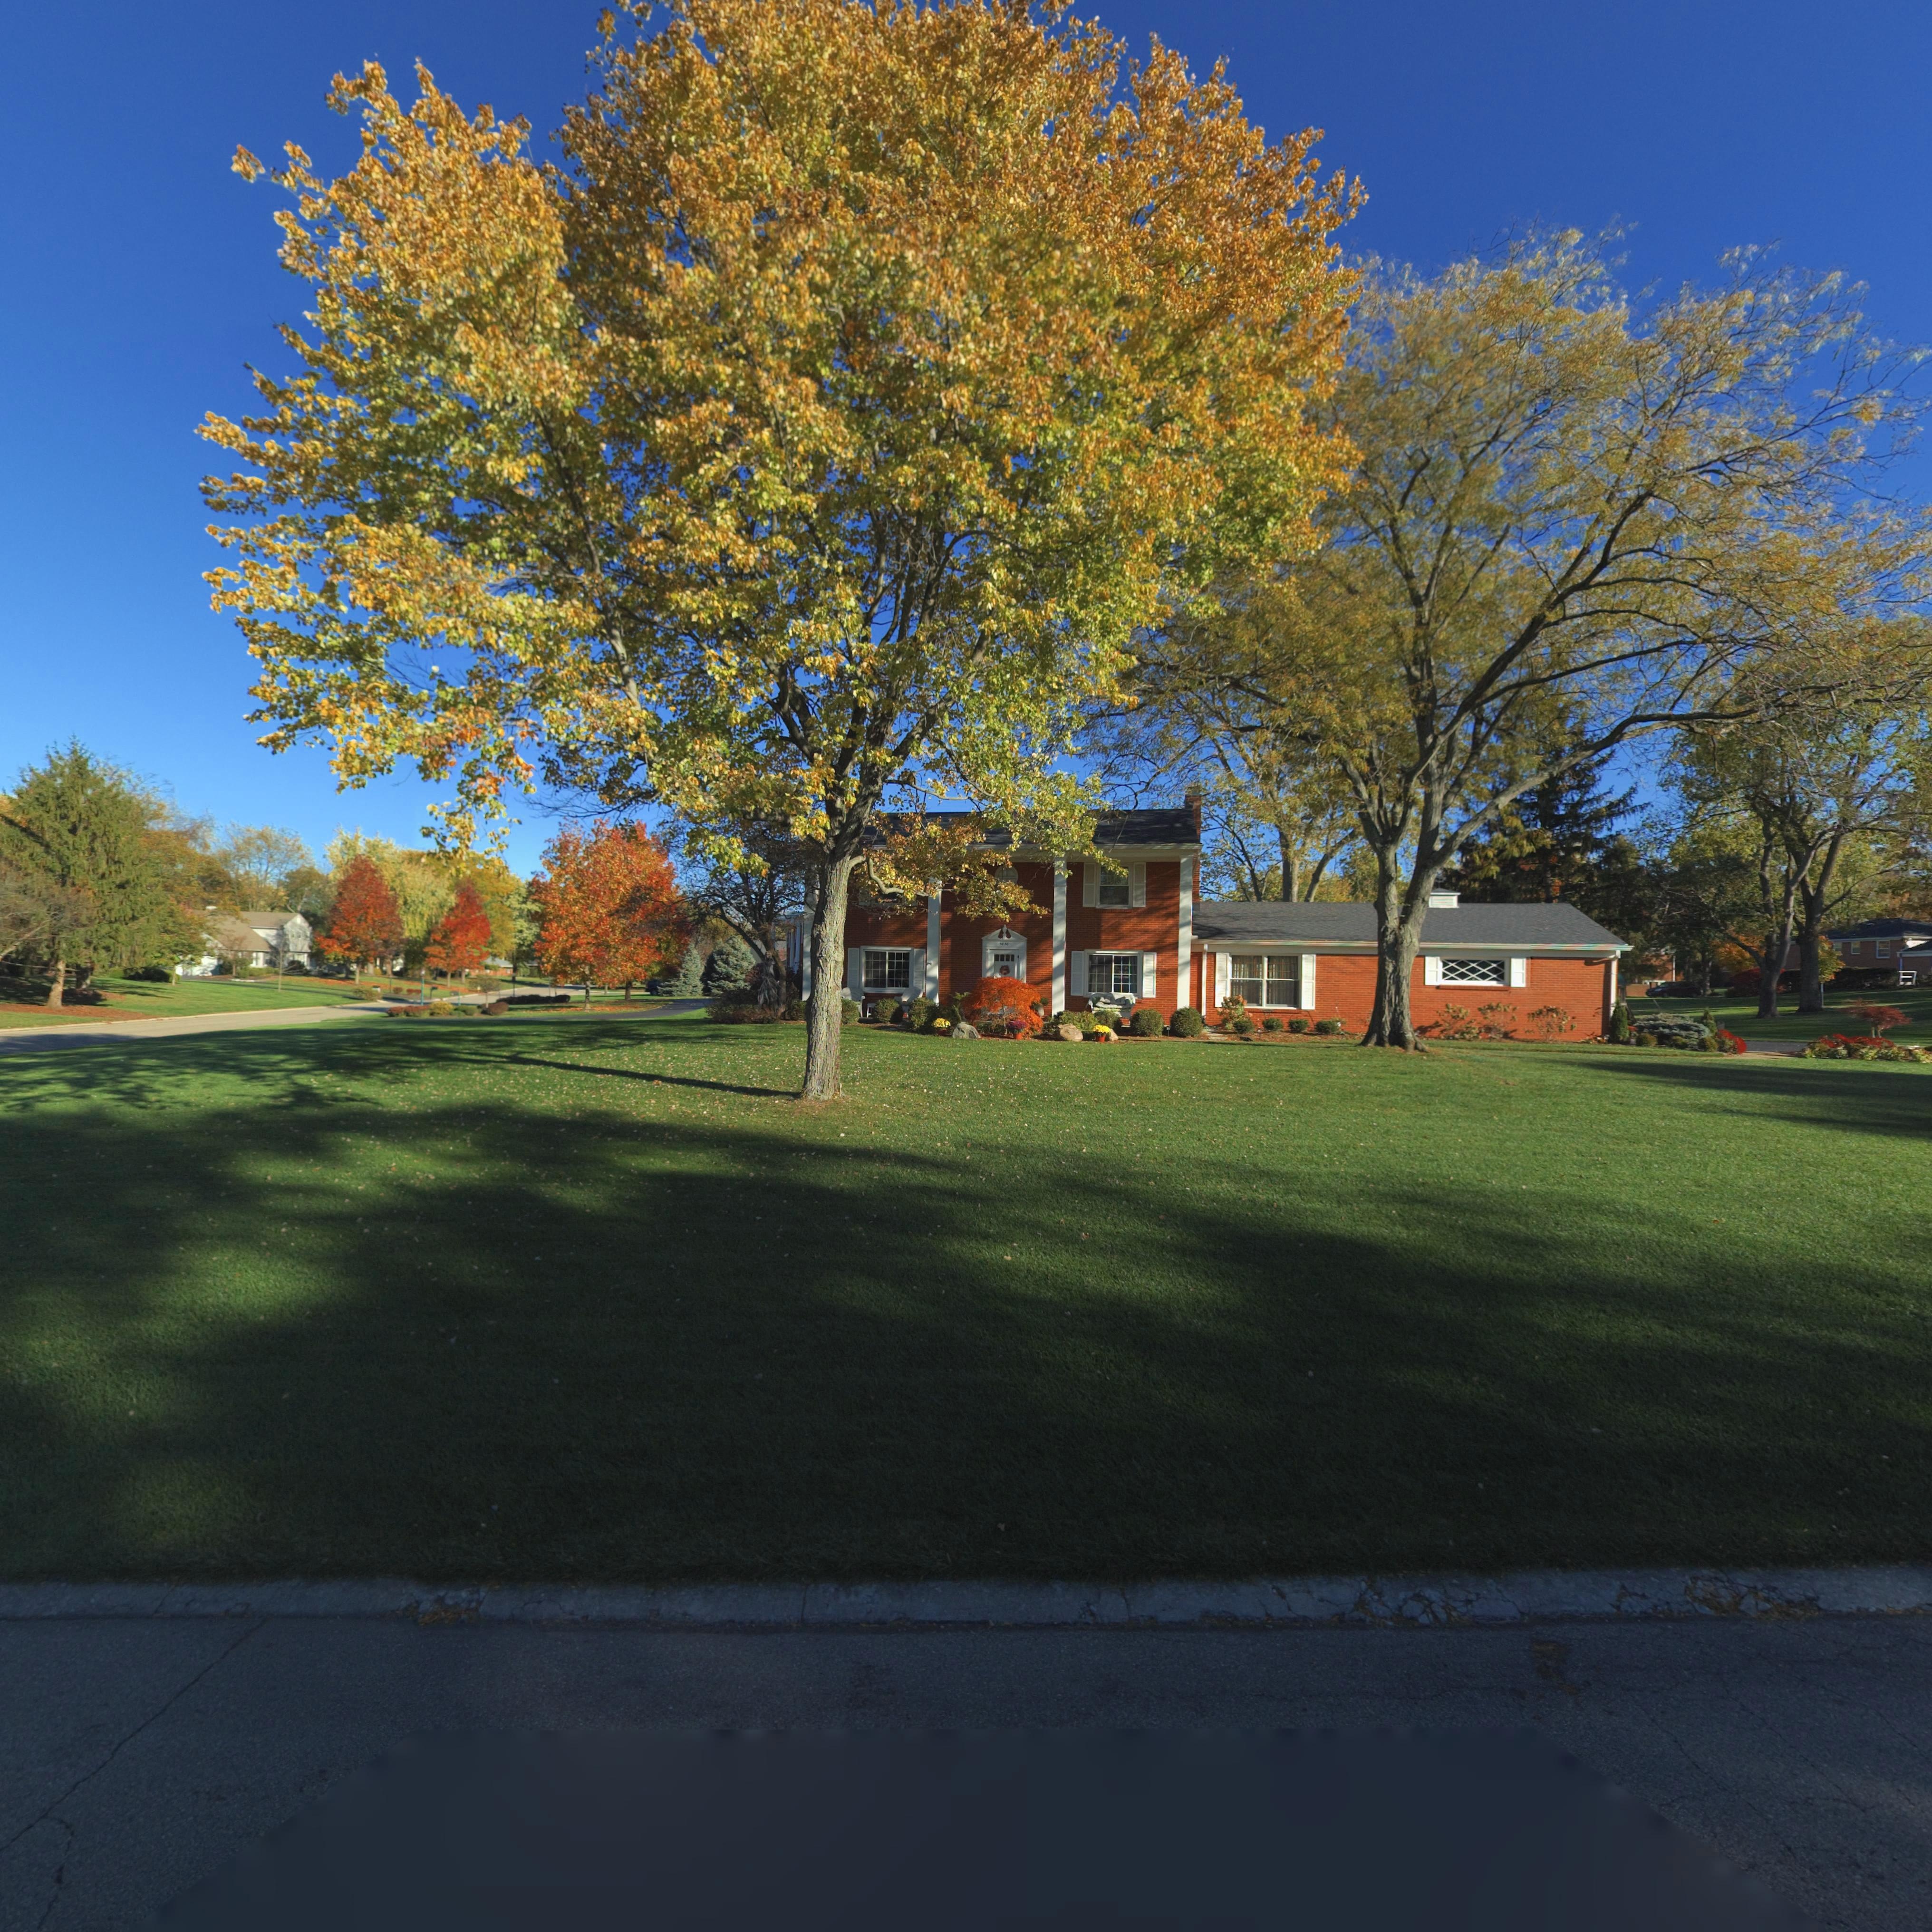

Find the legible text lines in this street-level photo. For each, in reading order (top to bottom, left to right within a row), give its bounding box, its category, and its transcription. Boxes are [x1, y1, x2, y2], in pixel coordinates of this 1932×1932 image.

[999, 942, 1008, 946] StreetNumber: 5830